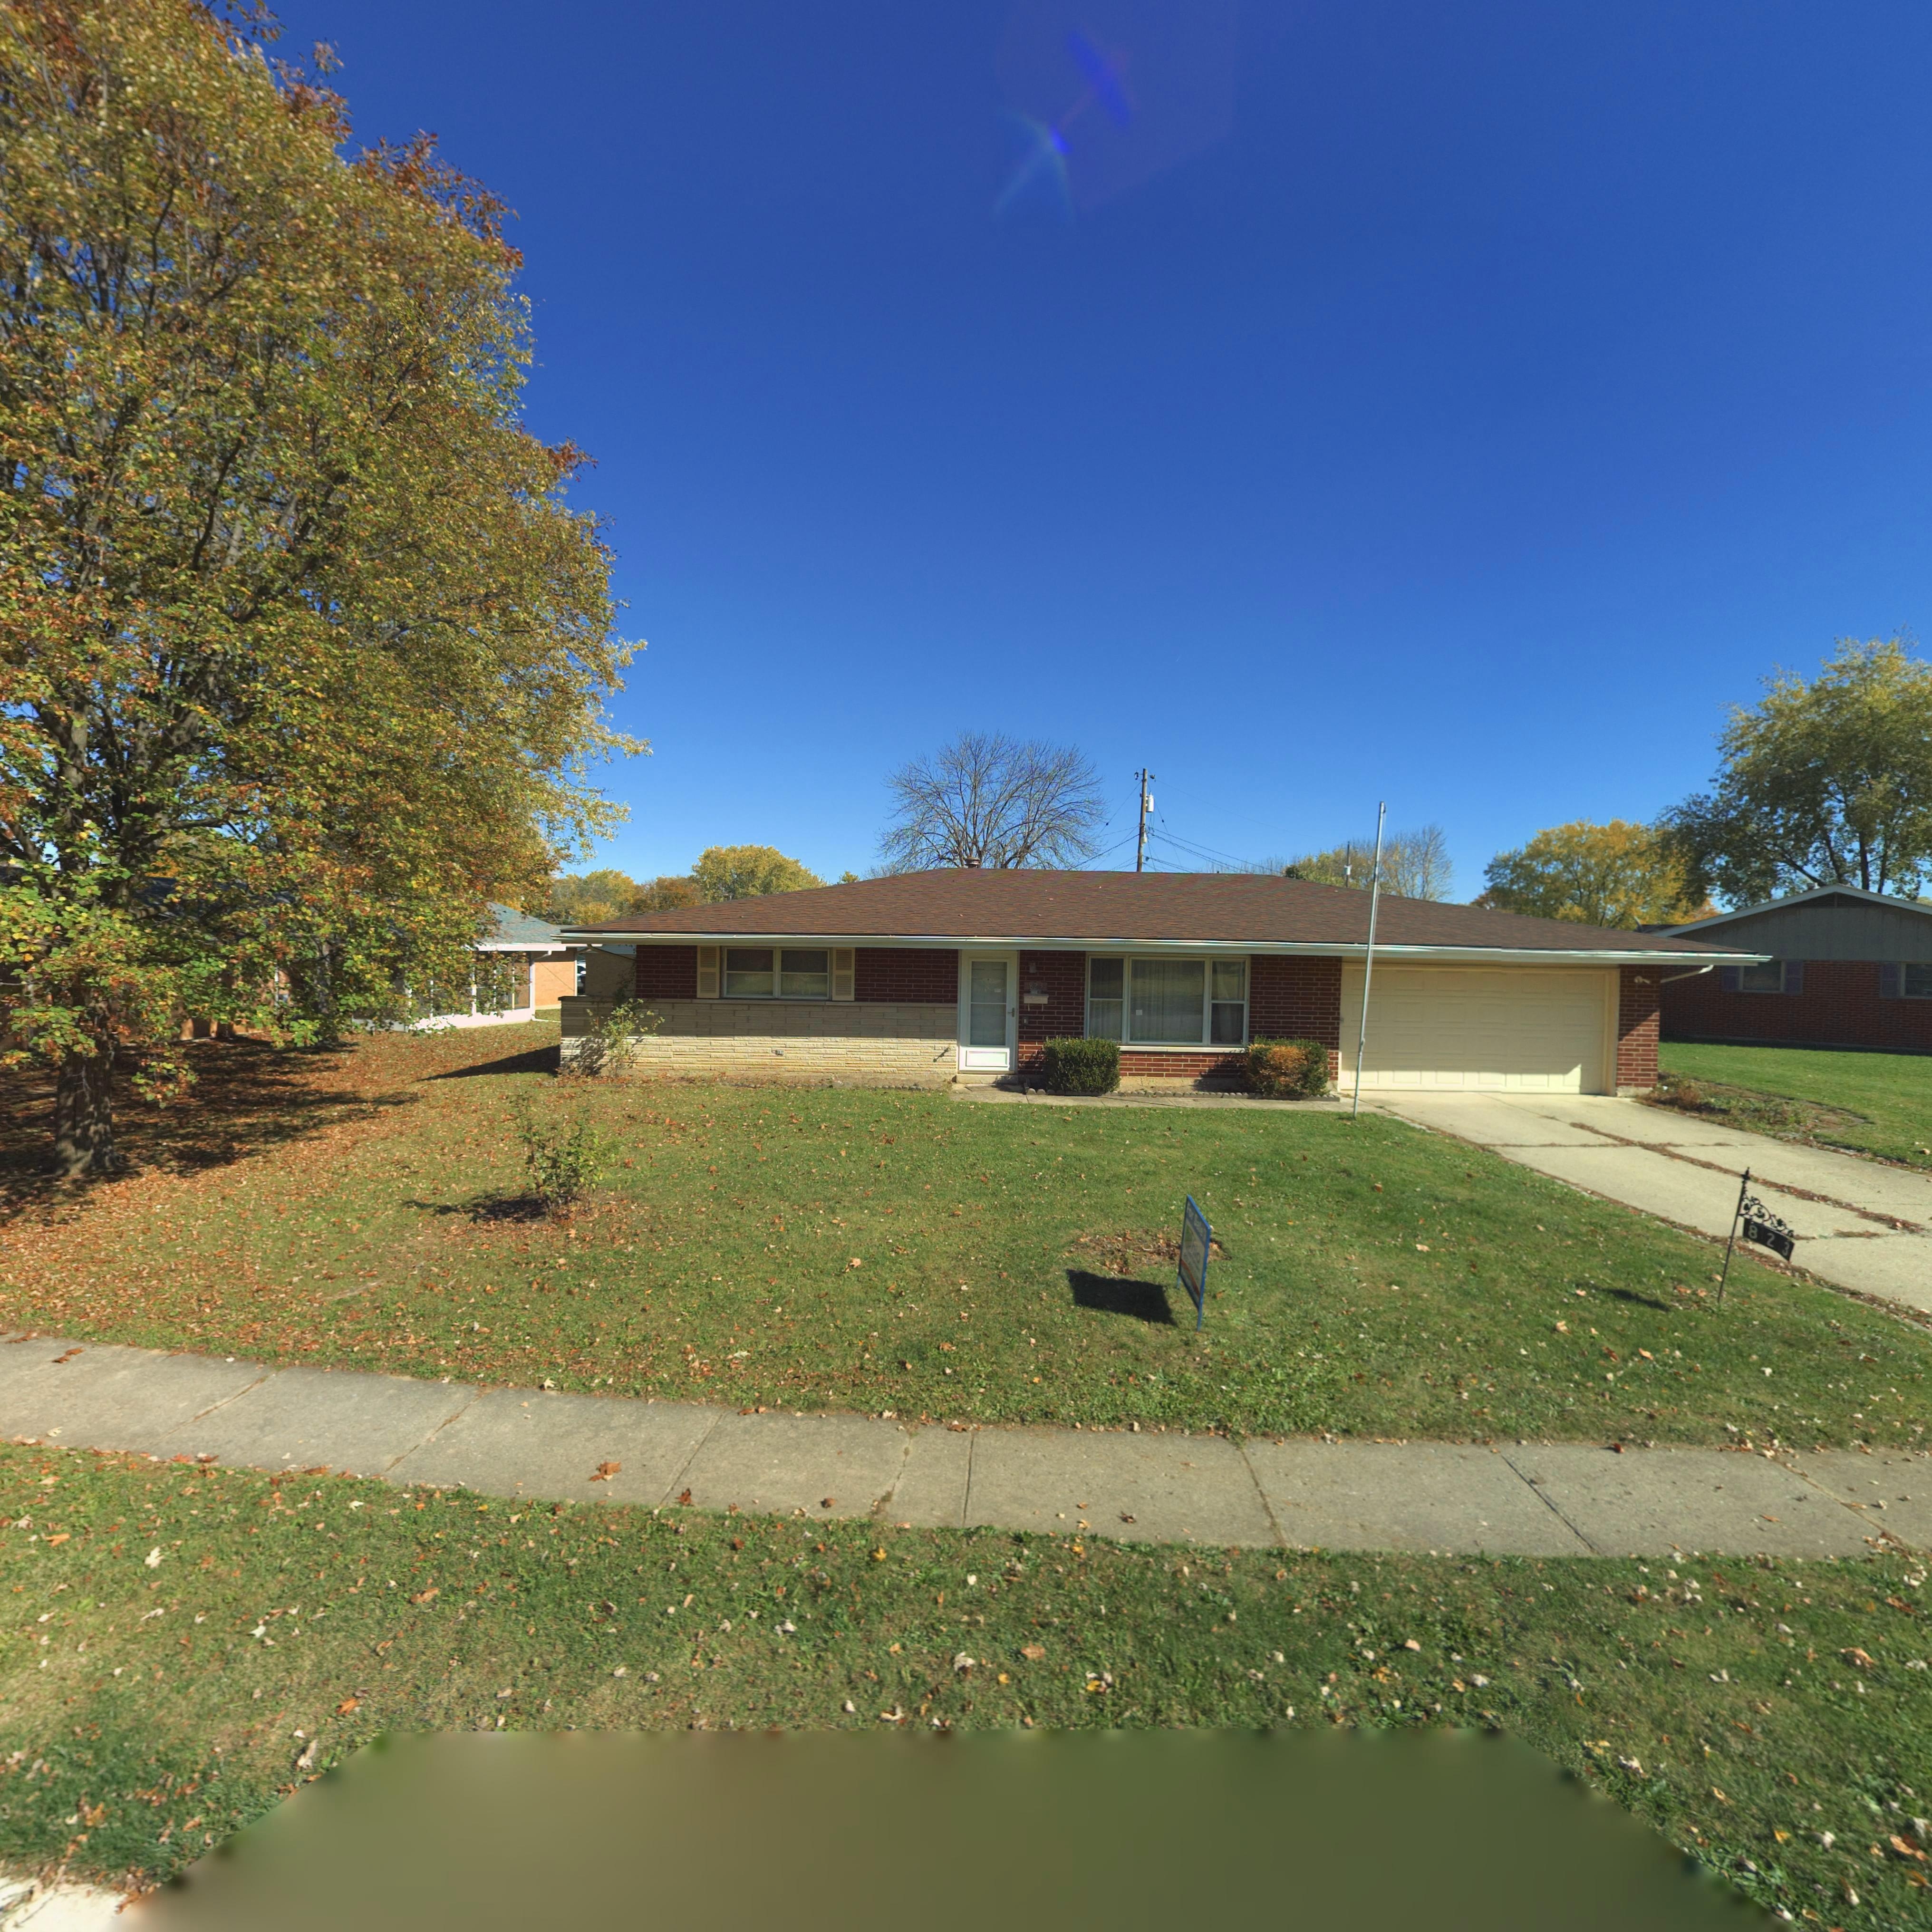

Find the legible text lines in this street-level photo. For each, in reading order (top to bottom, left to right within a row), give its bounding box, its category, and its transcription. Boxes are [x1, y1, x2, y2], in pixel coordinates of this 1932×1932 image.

[1029, 982, 1043, 990] StreetNumber: 823
[1747, 1223, 1791, 1257] StreetNumber: 823